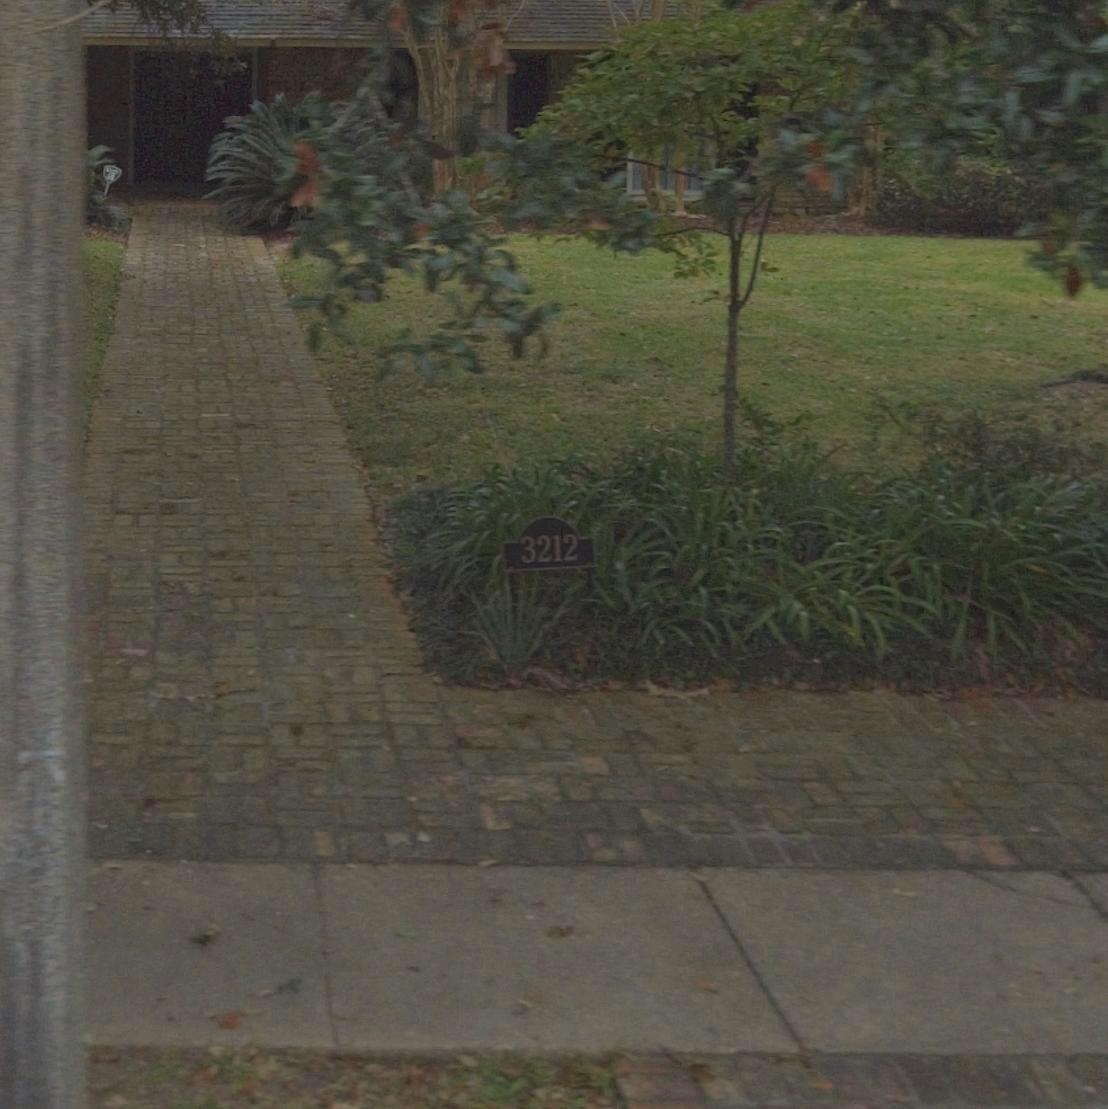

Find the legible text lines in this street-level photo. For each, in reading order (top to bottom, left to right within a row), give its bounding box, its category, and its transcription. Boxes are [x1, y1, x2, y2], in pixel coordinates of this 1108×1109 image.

[520, 532, 581, 565] StreetNumber: 3212